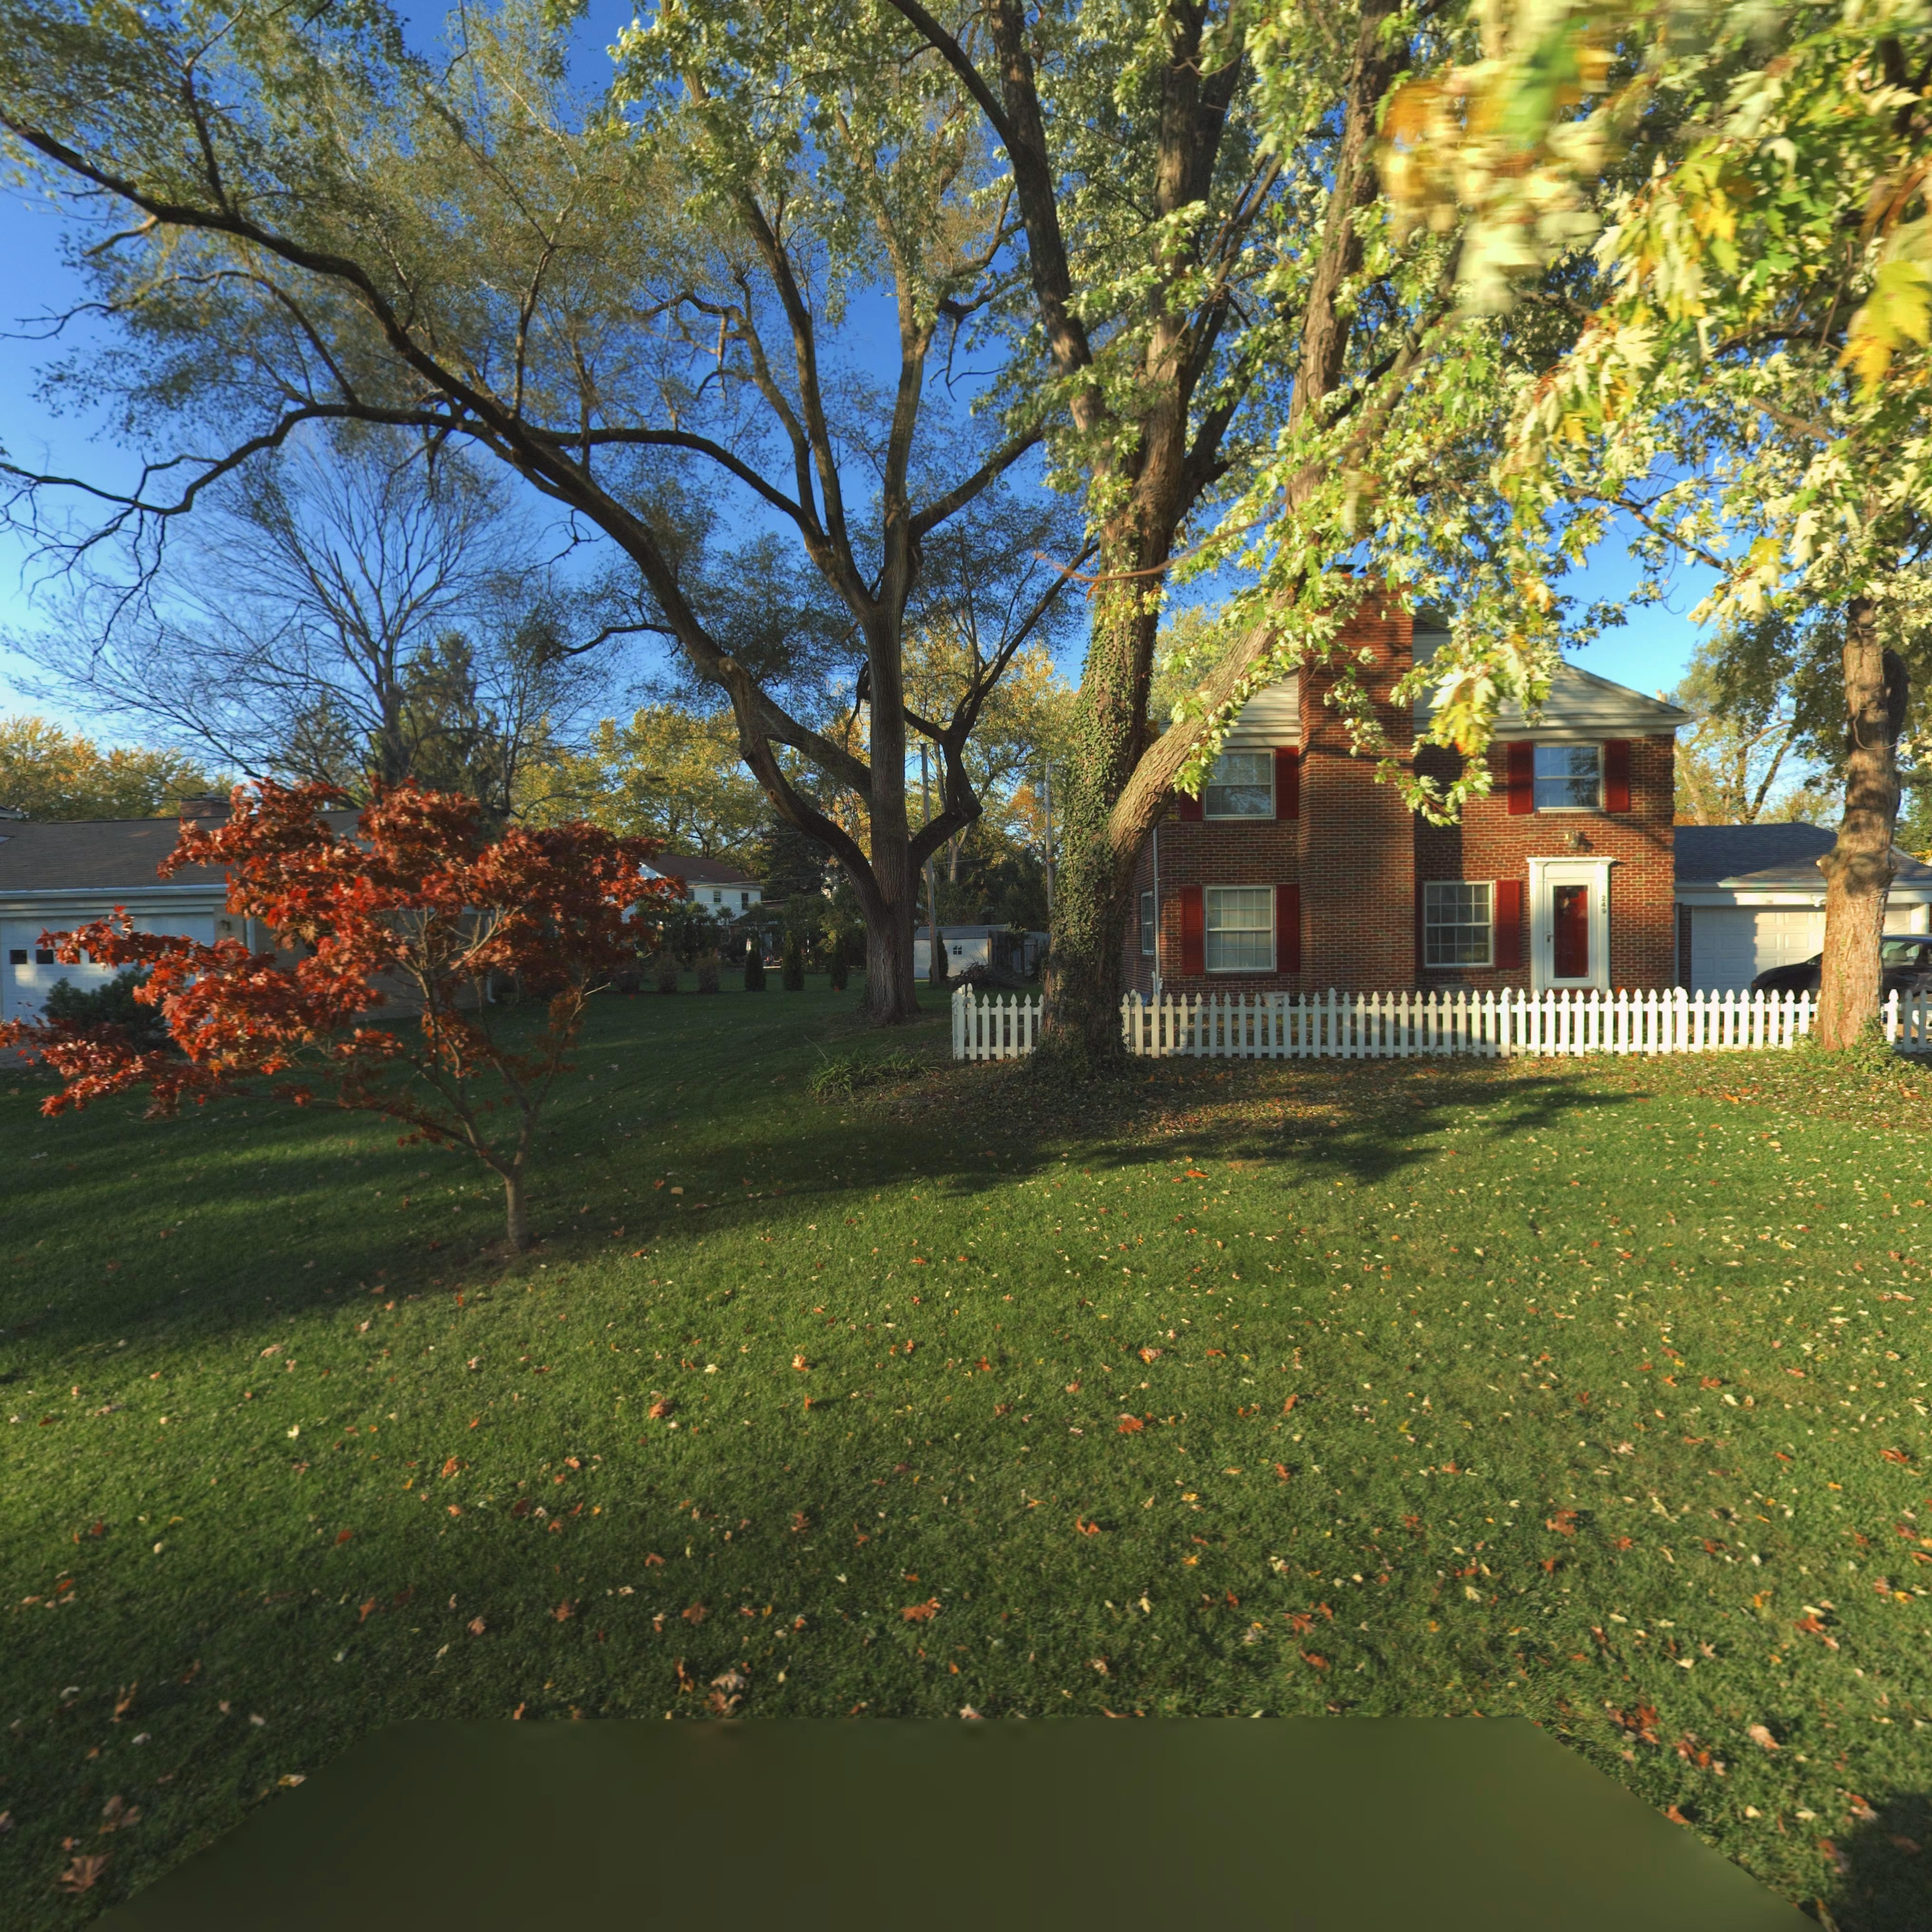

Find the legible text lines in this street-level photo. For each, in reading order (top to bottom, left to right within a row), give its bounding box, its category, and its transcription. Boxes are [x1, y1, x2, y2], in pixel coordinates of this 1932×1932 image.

[1601, 895, 1607, 914] StreetNumber: 249